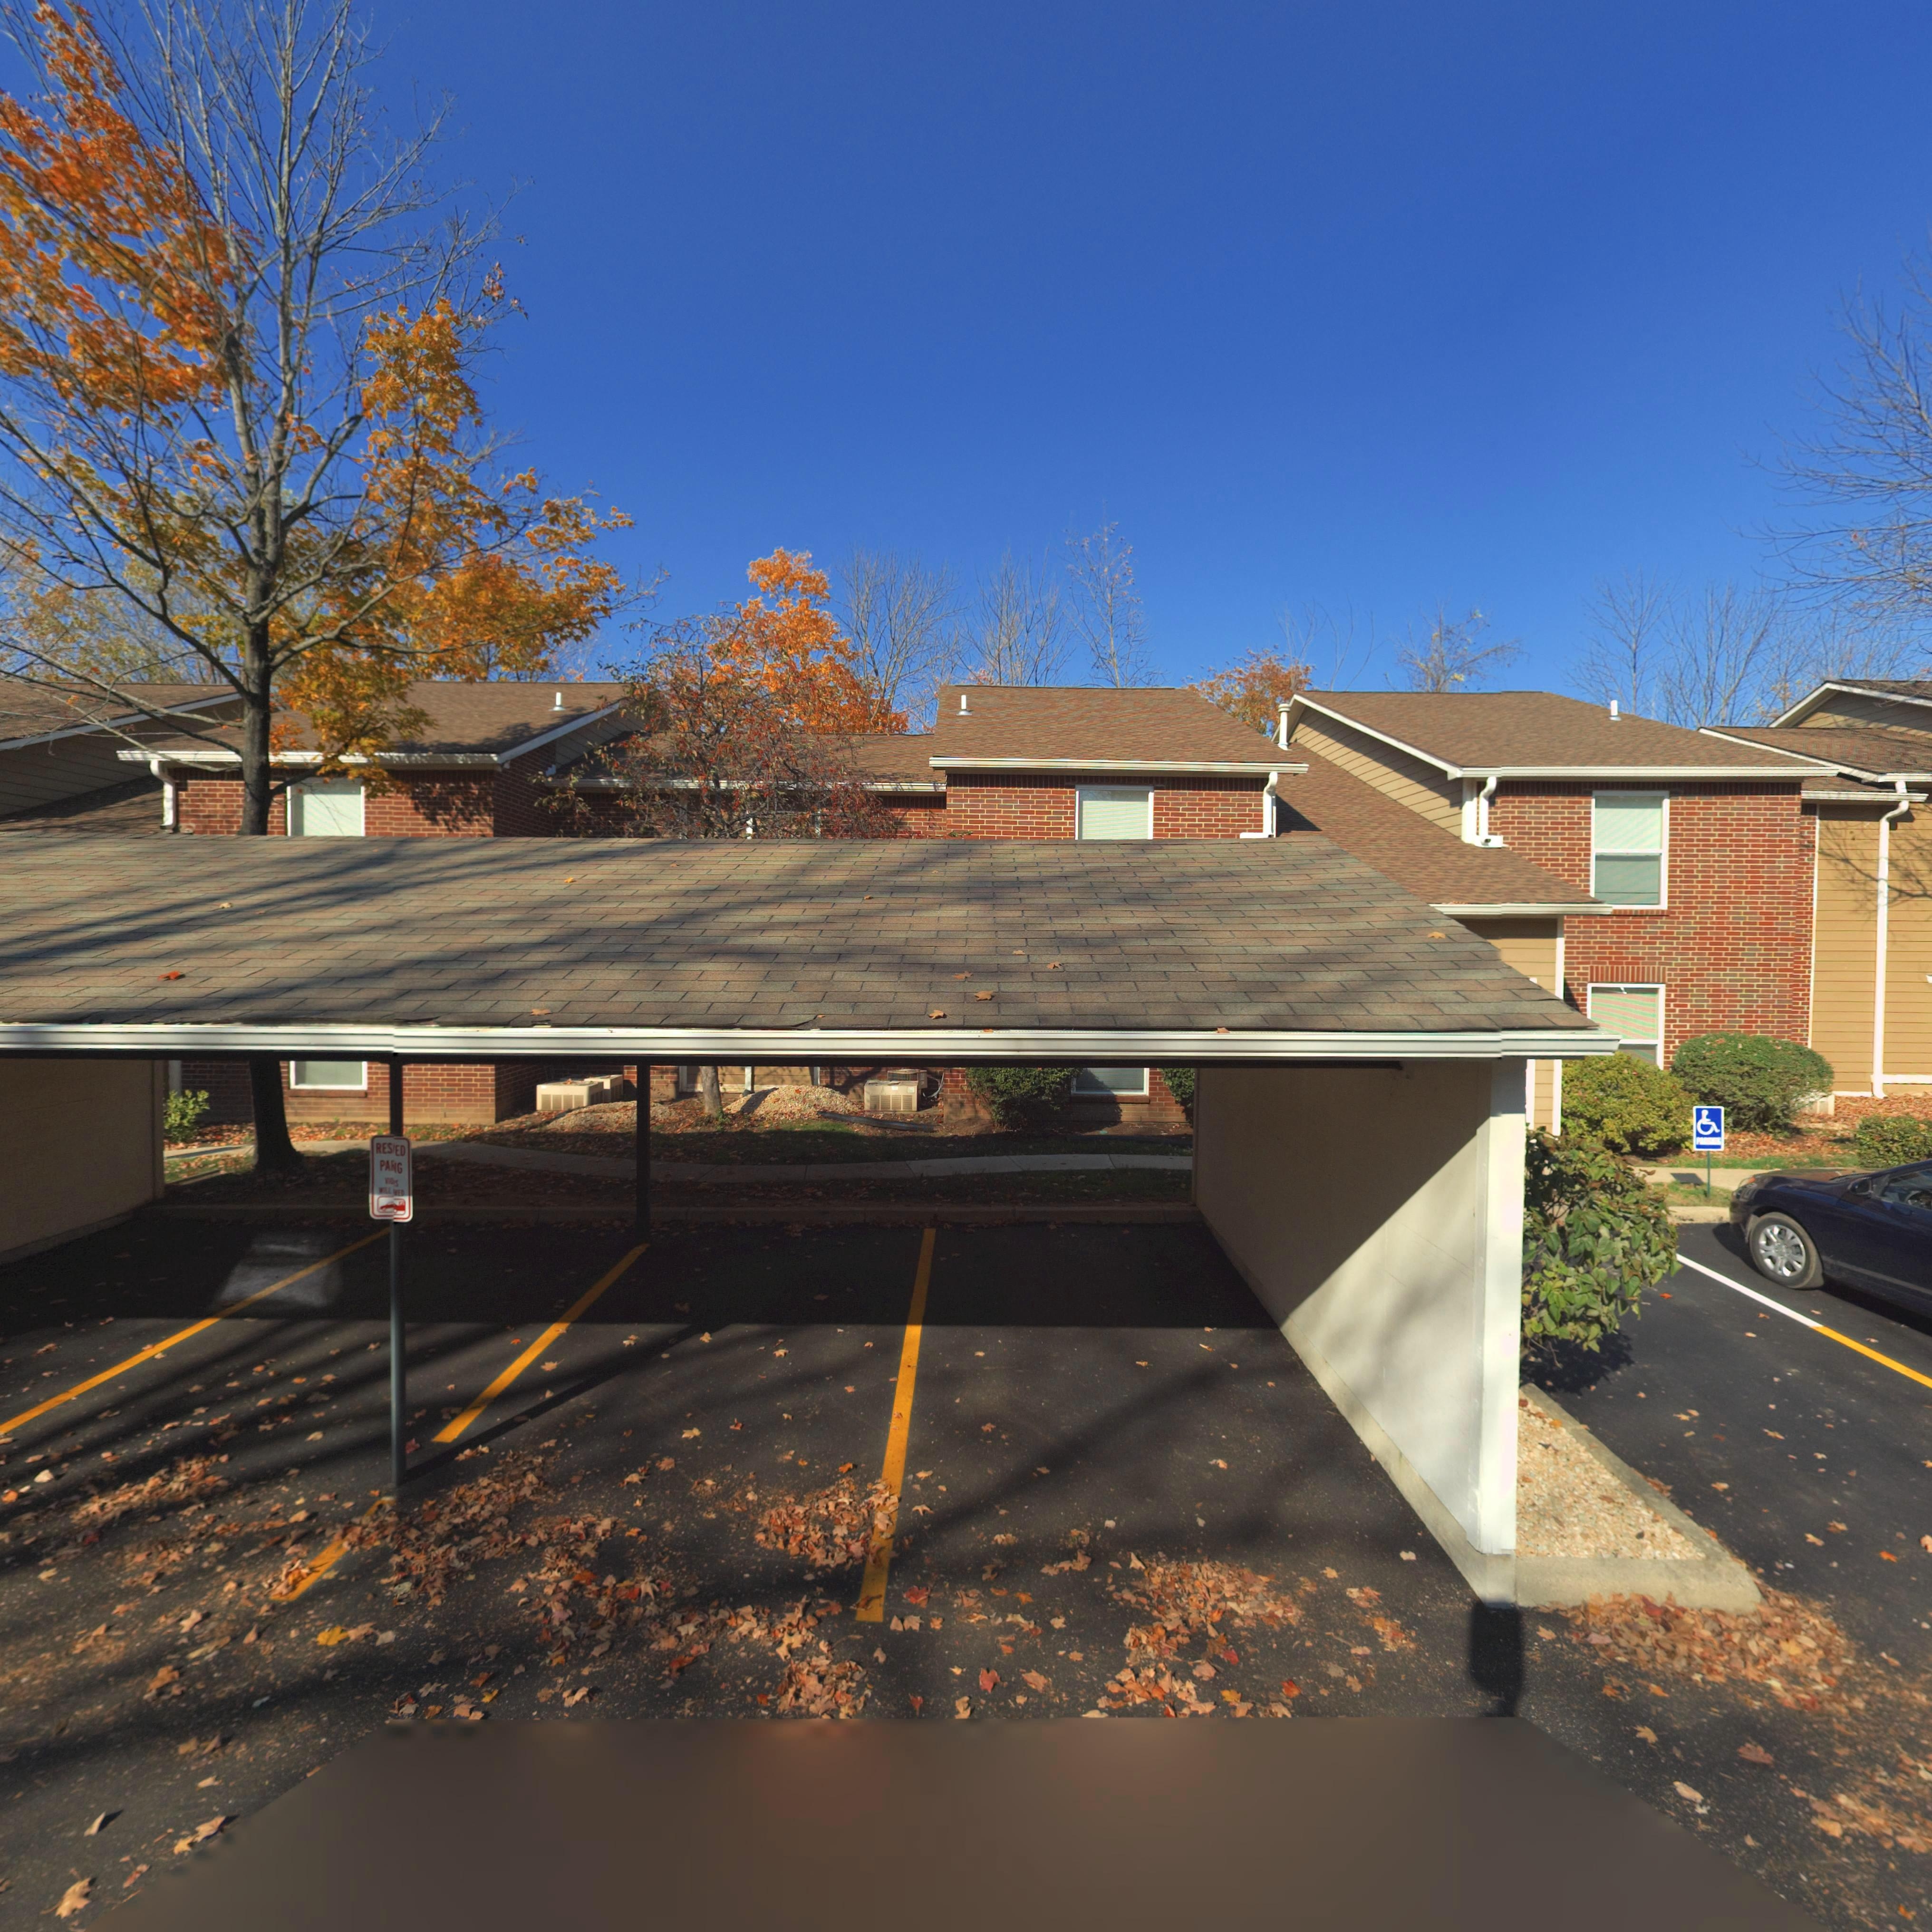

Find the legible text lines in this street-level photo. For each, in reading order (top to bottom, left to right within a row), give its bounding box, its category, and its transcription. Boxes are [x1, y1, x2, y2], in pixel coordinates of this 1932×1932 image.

[375, 1141, 407, 1158] None: RES*ED
[378, 1159, 404, 1176] None: PA**G